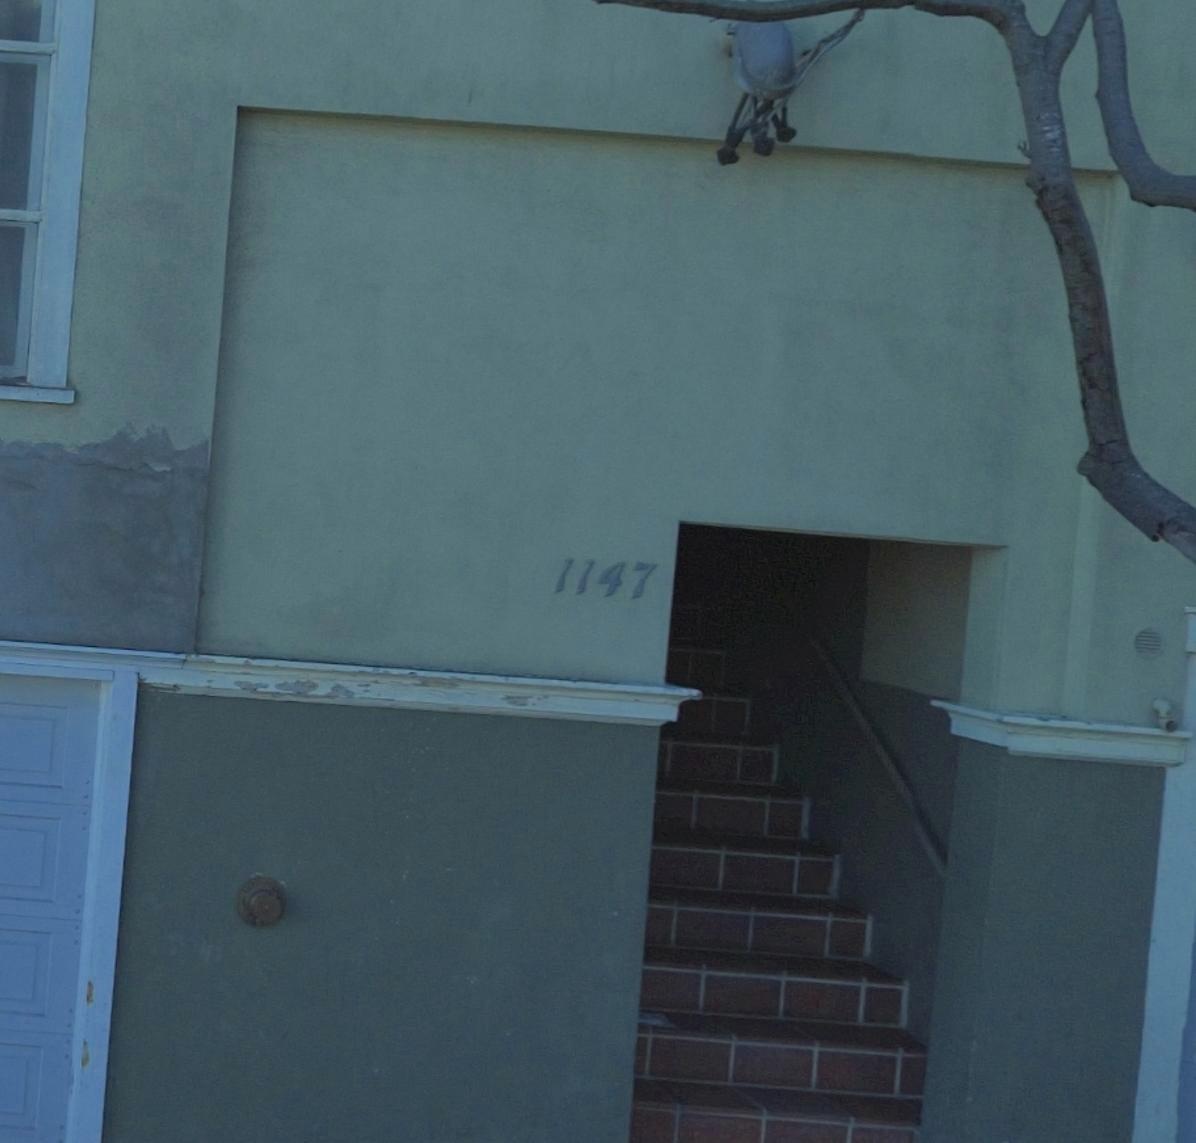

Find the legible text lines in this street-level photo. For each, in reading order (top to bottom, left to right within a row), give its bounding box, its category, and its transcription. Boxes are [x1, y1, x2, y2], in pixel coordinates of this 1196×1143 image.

[548, 555, 665, 601] StreetNumber: 1147